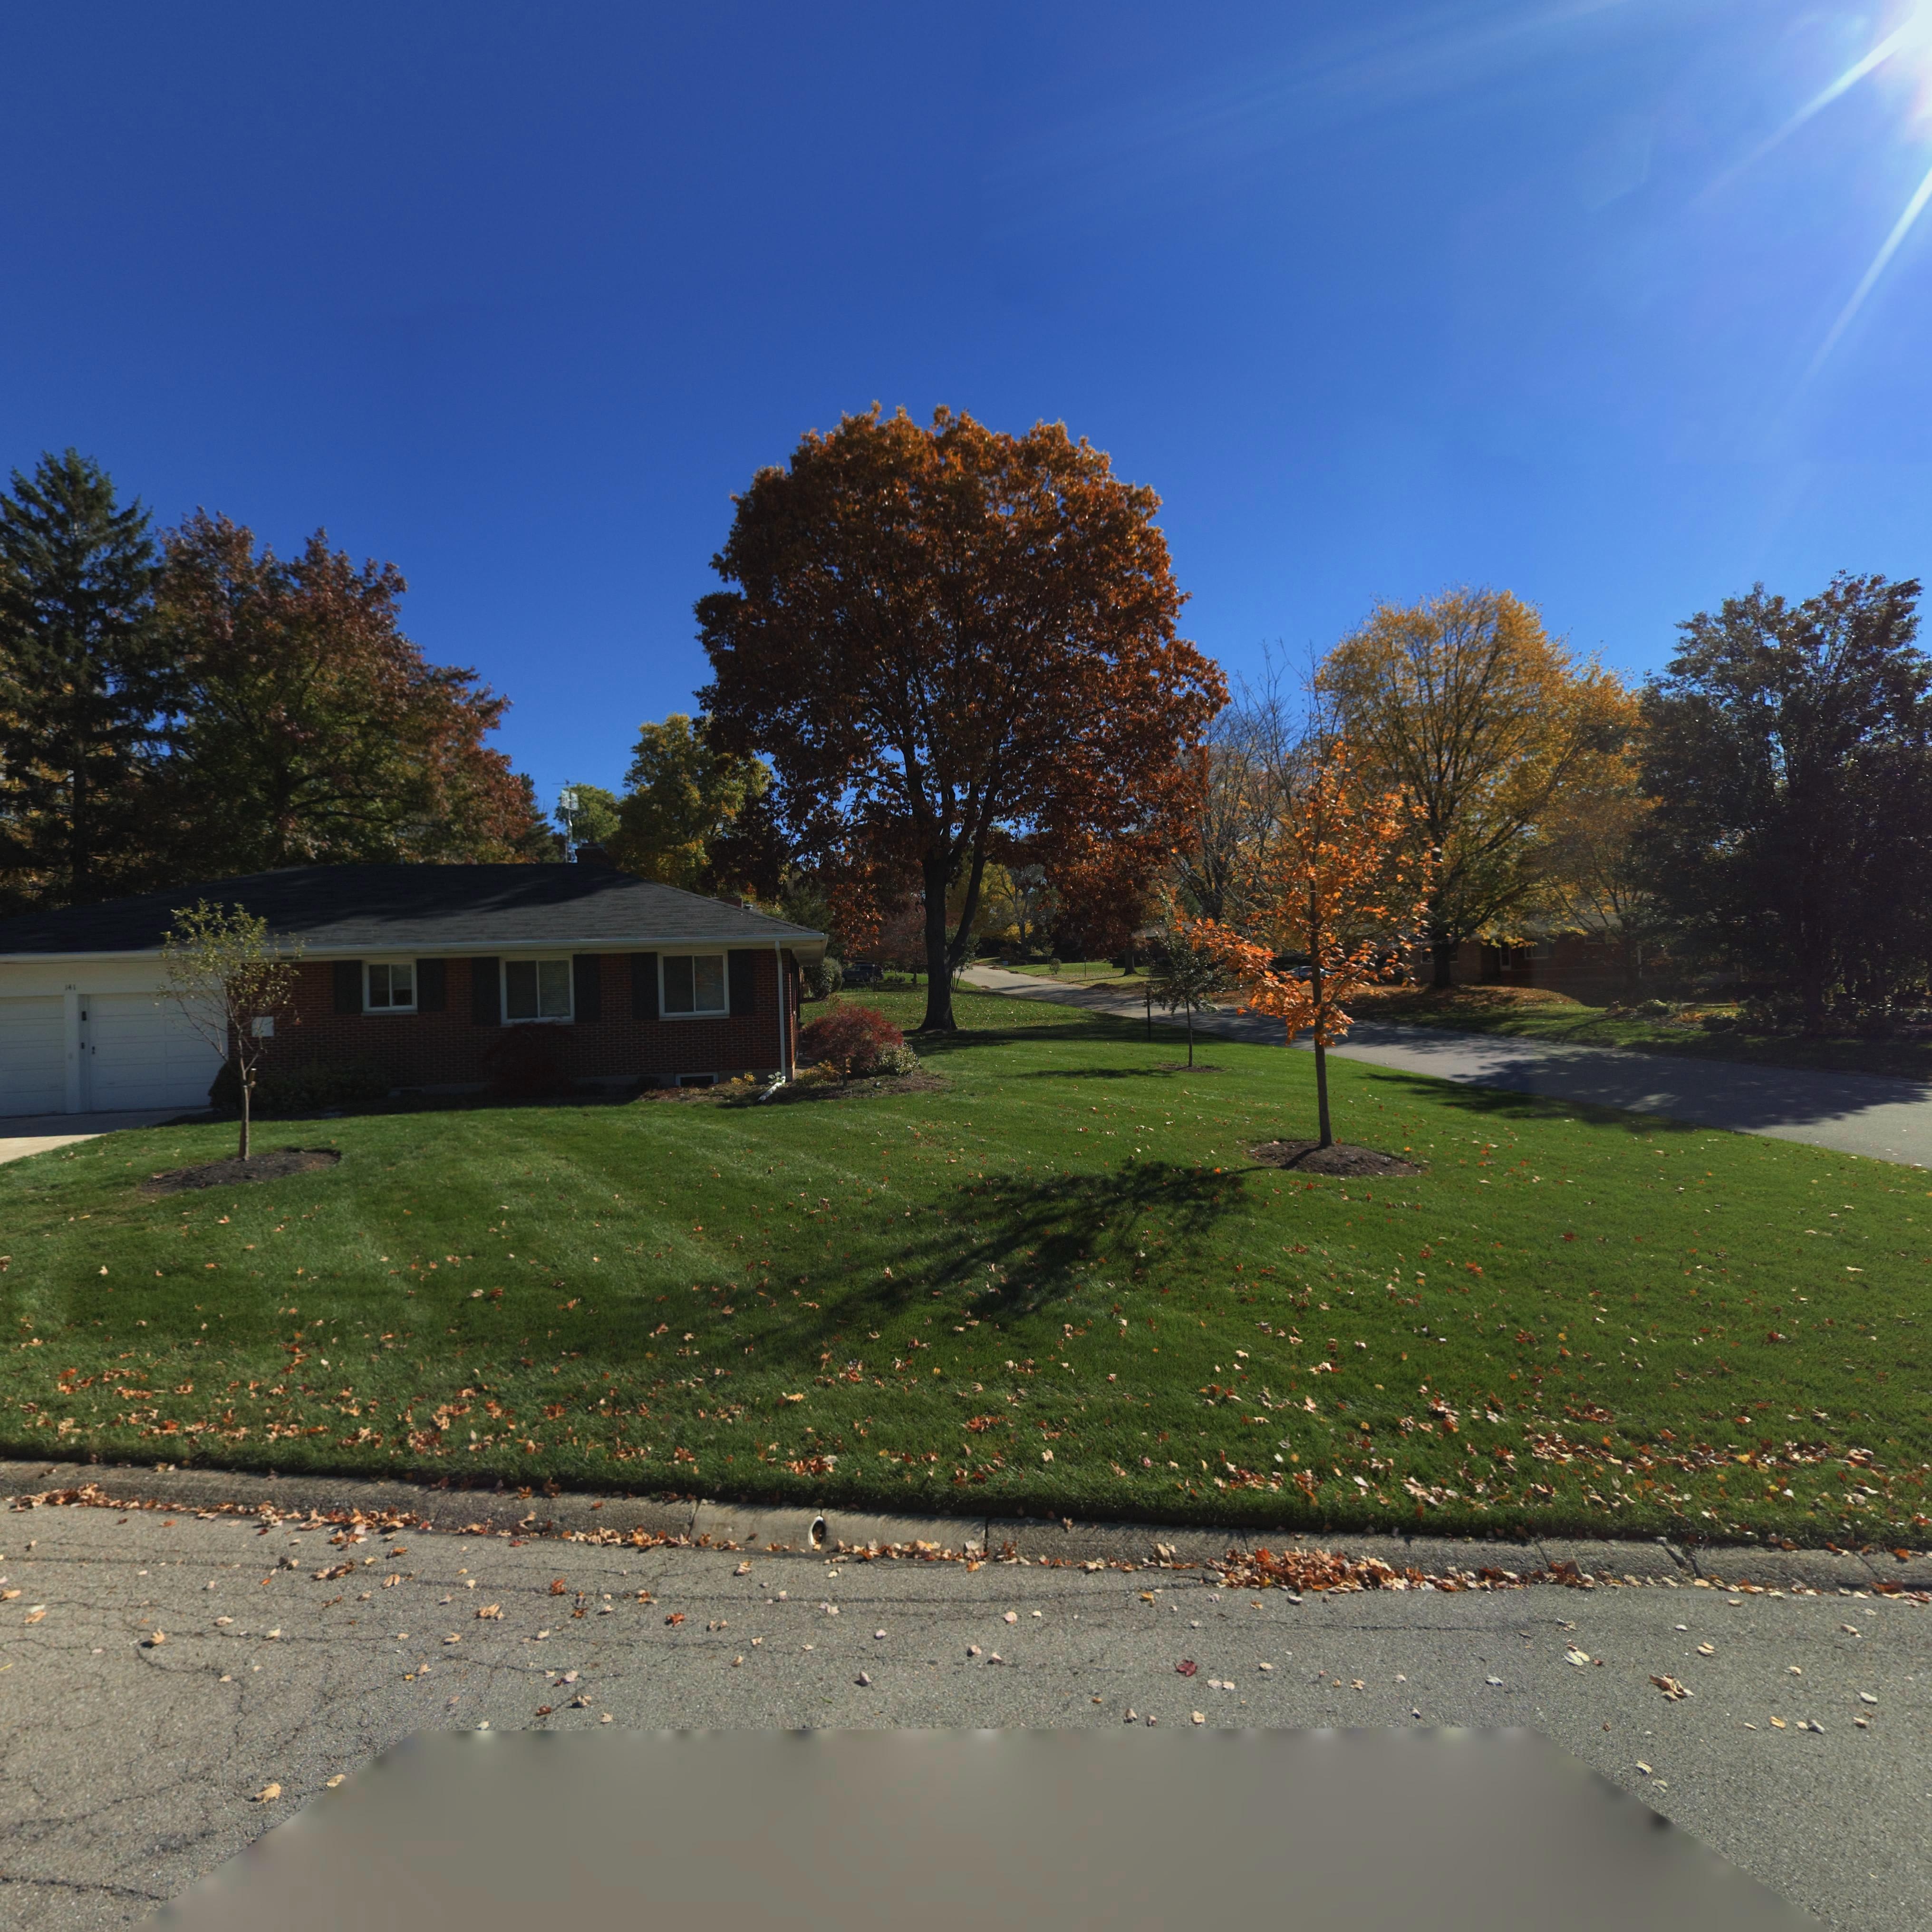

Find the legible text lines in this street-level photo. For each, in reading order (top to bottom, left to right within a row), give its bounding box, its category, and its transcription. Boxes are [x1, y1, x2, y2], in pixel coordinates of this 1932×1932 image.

[63, 983, 76, 991] StreetNumber: 141